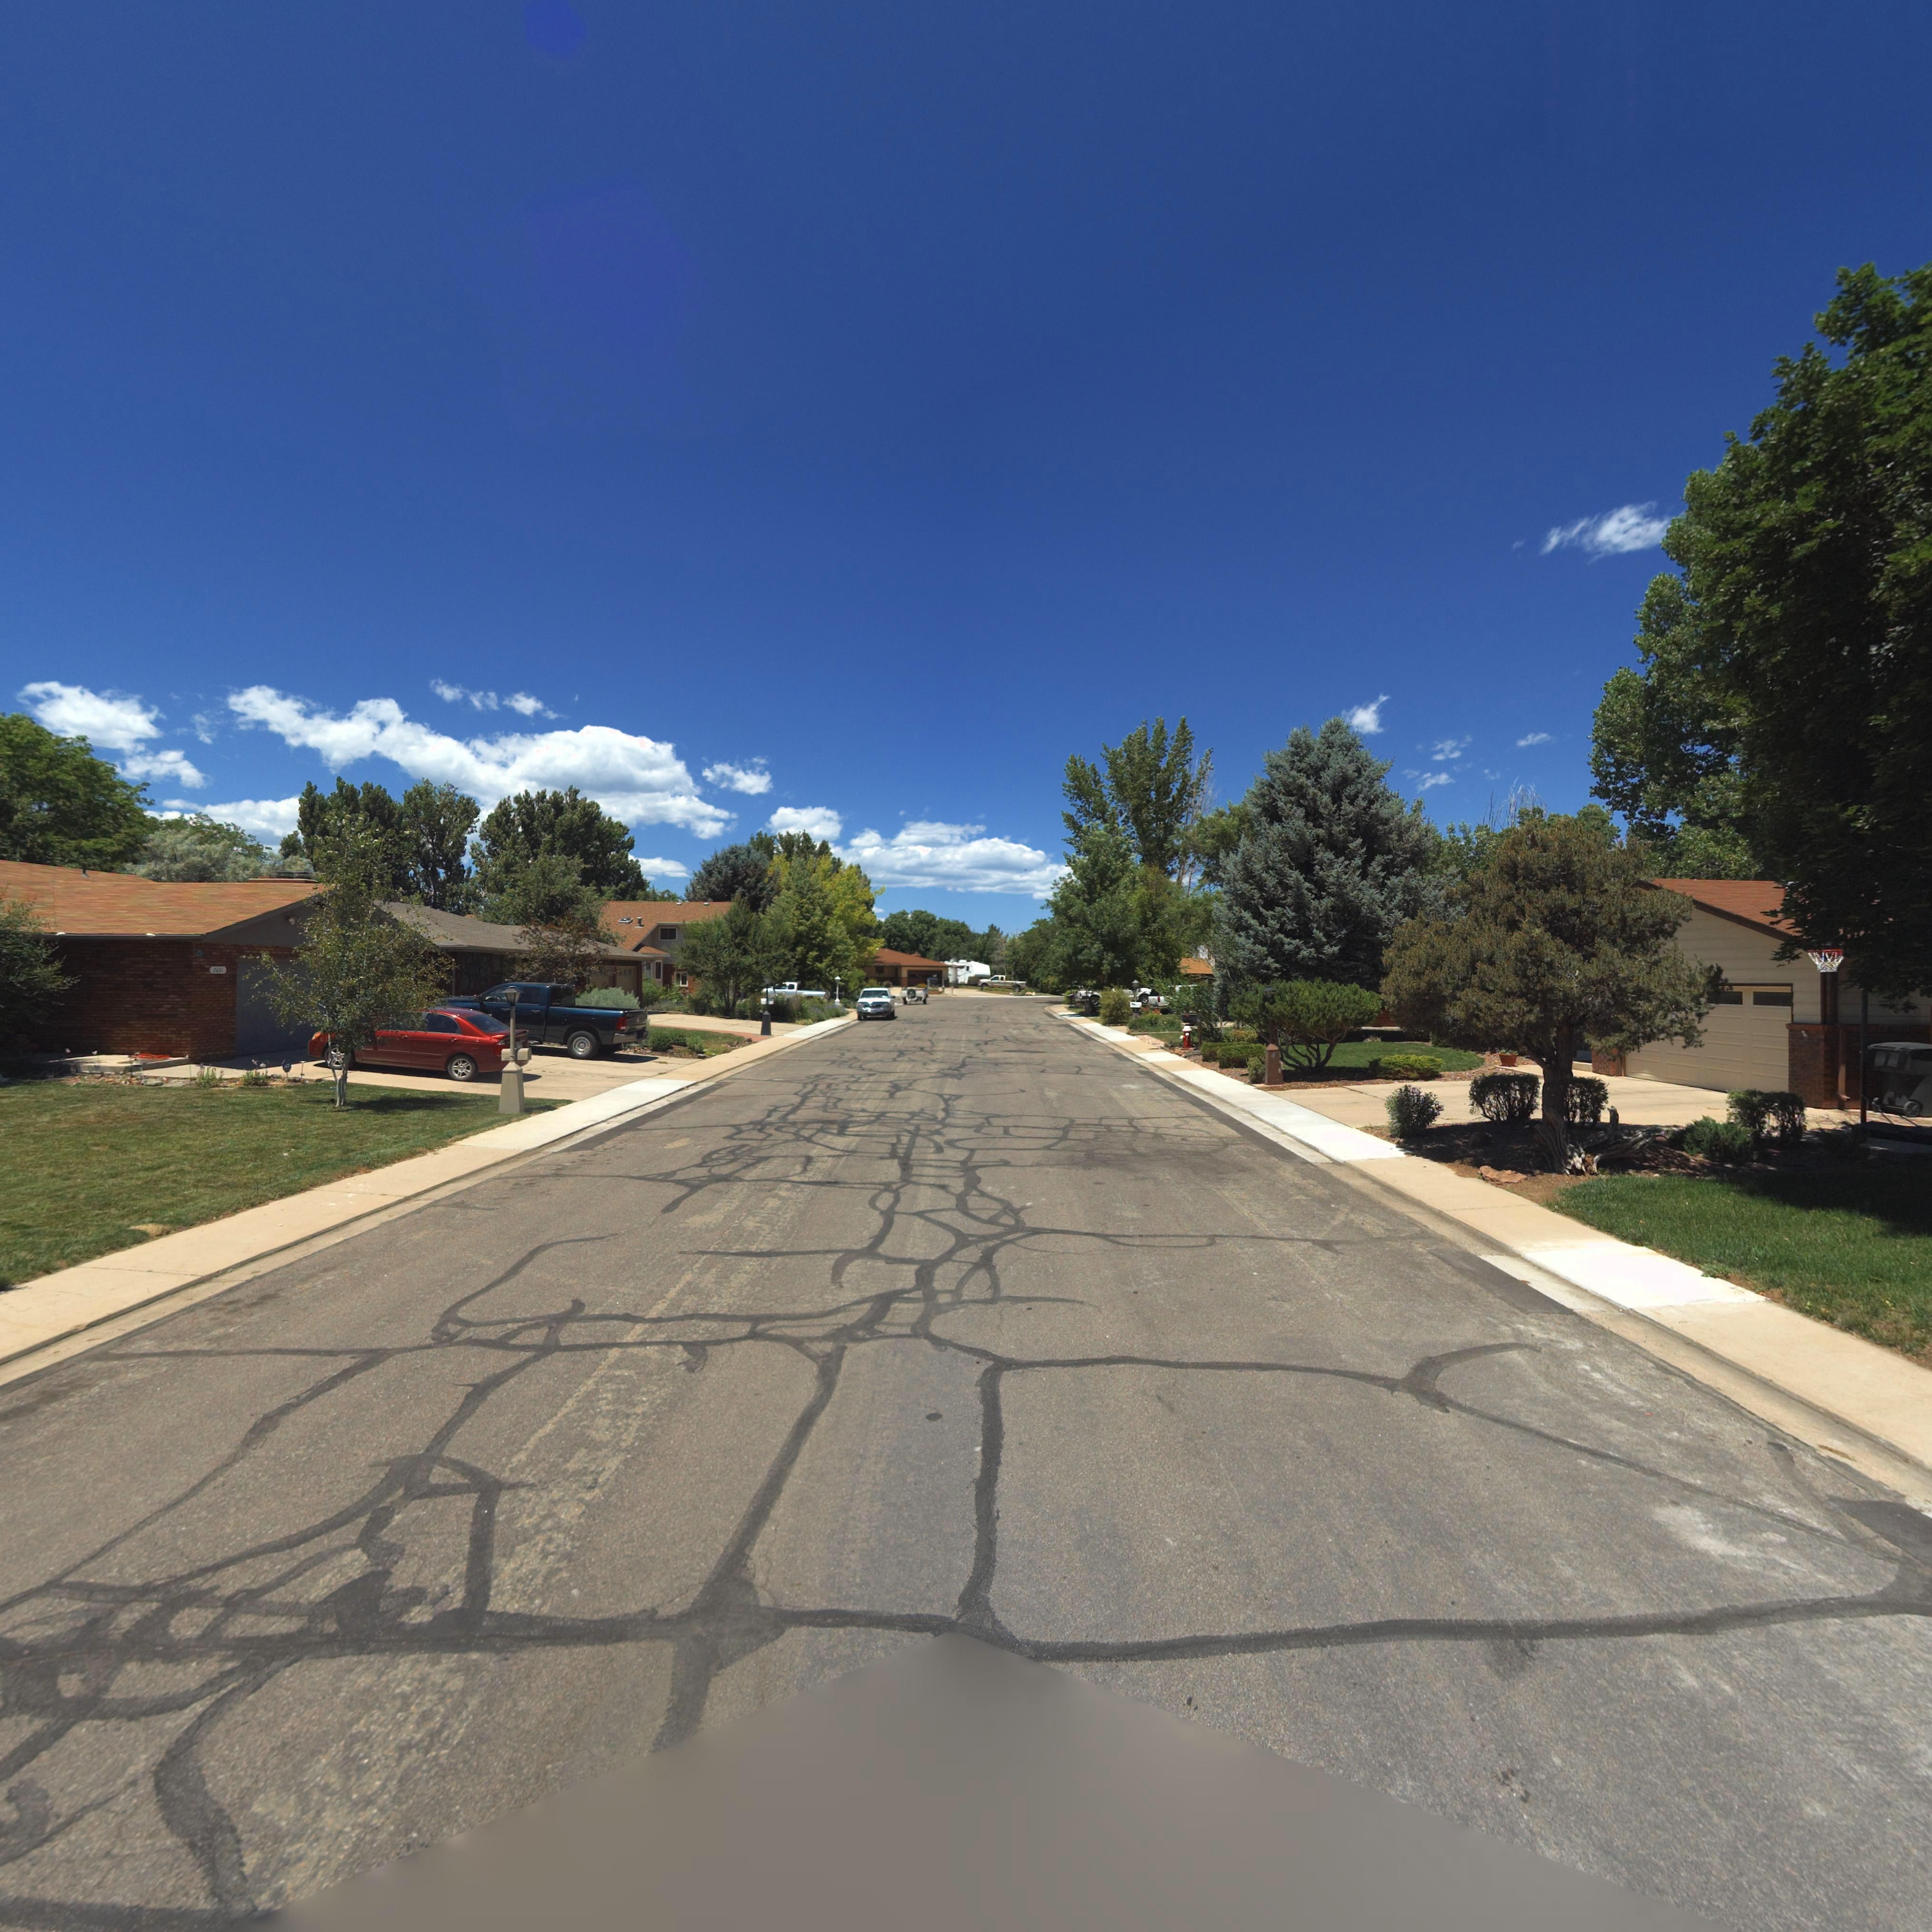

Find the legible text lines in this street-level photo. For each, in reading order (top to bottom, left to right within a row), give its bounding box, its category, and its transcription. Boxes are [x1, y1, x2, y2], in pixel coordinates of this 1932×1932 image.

[213, 967, 223, 972] StreetNumber: 2221